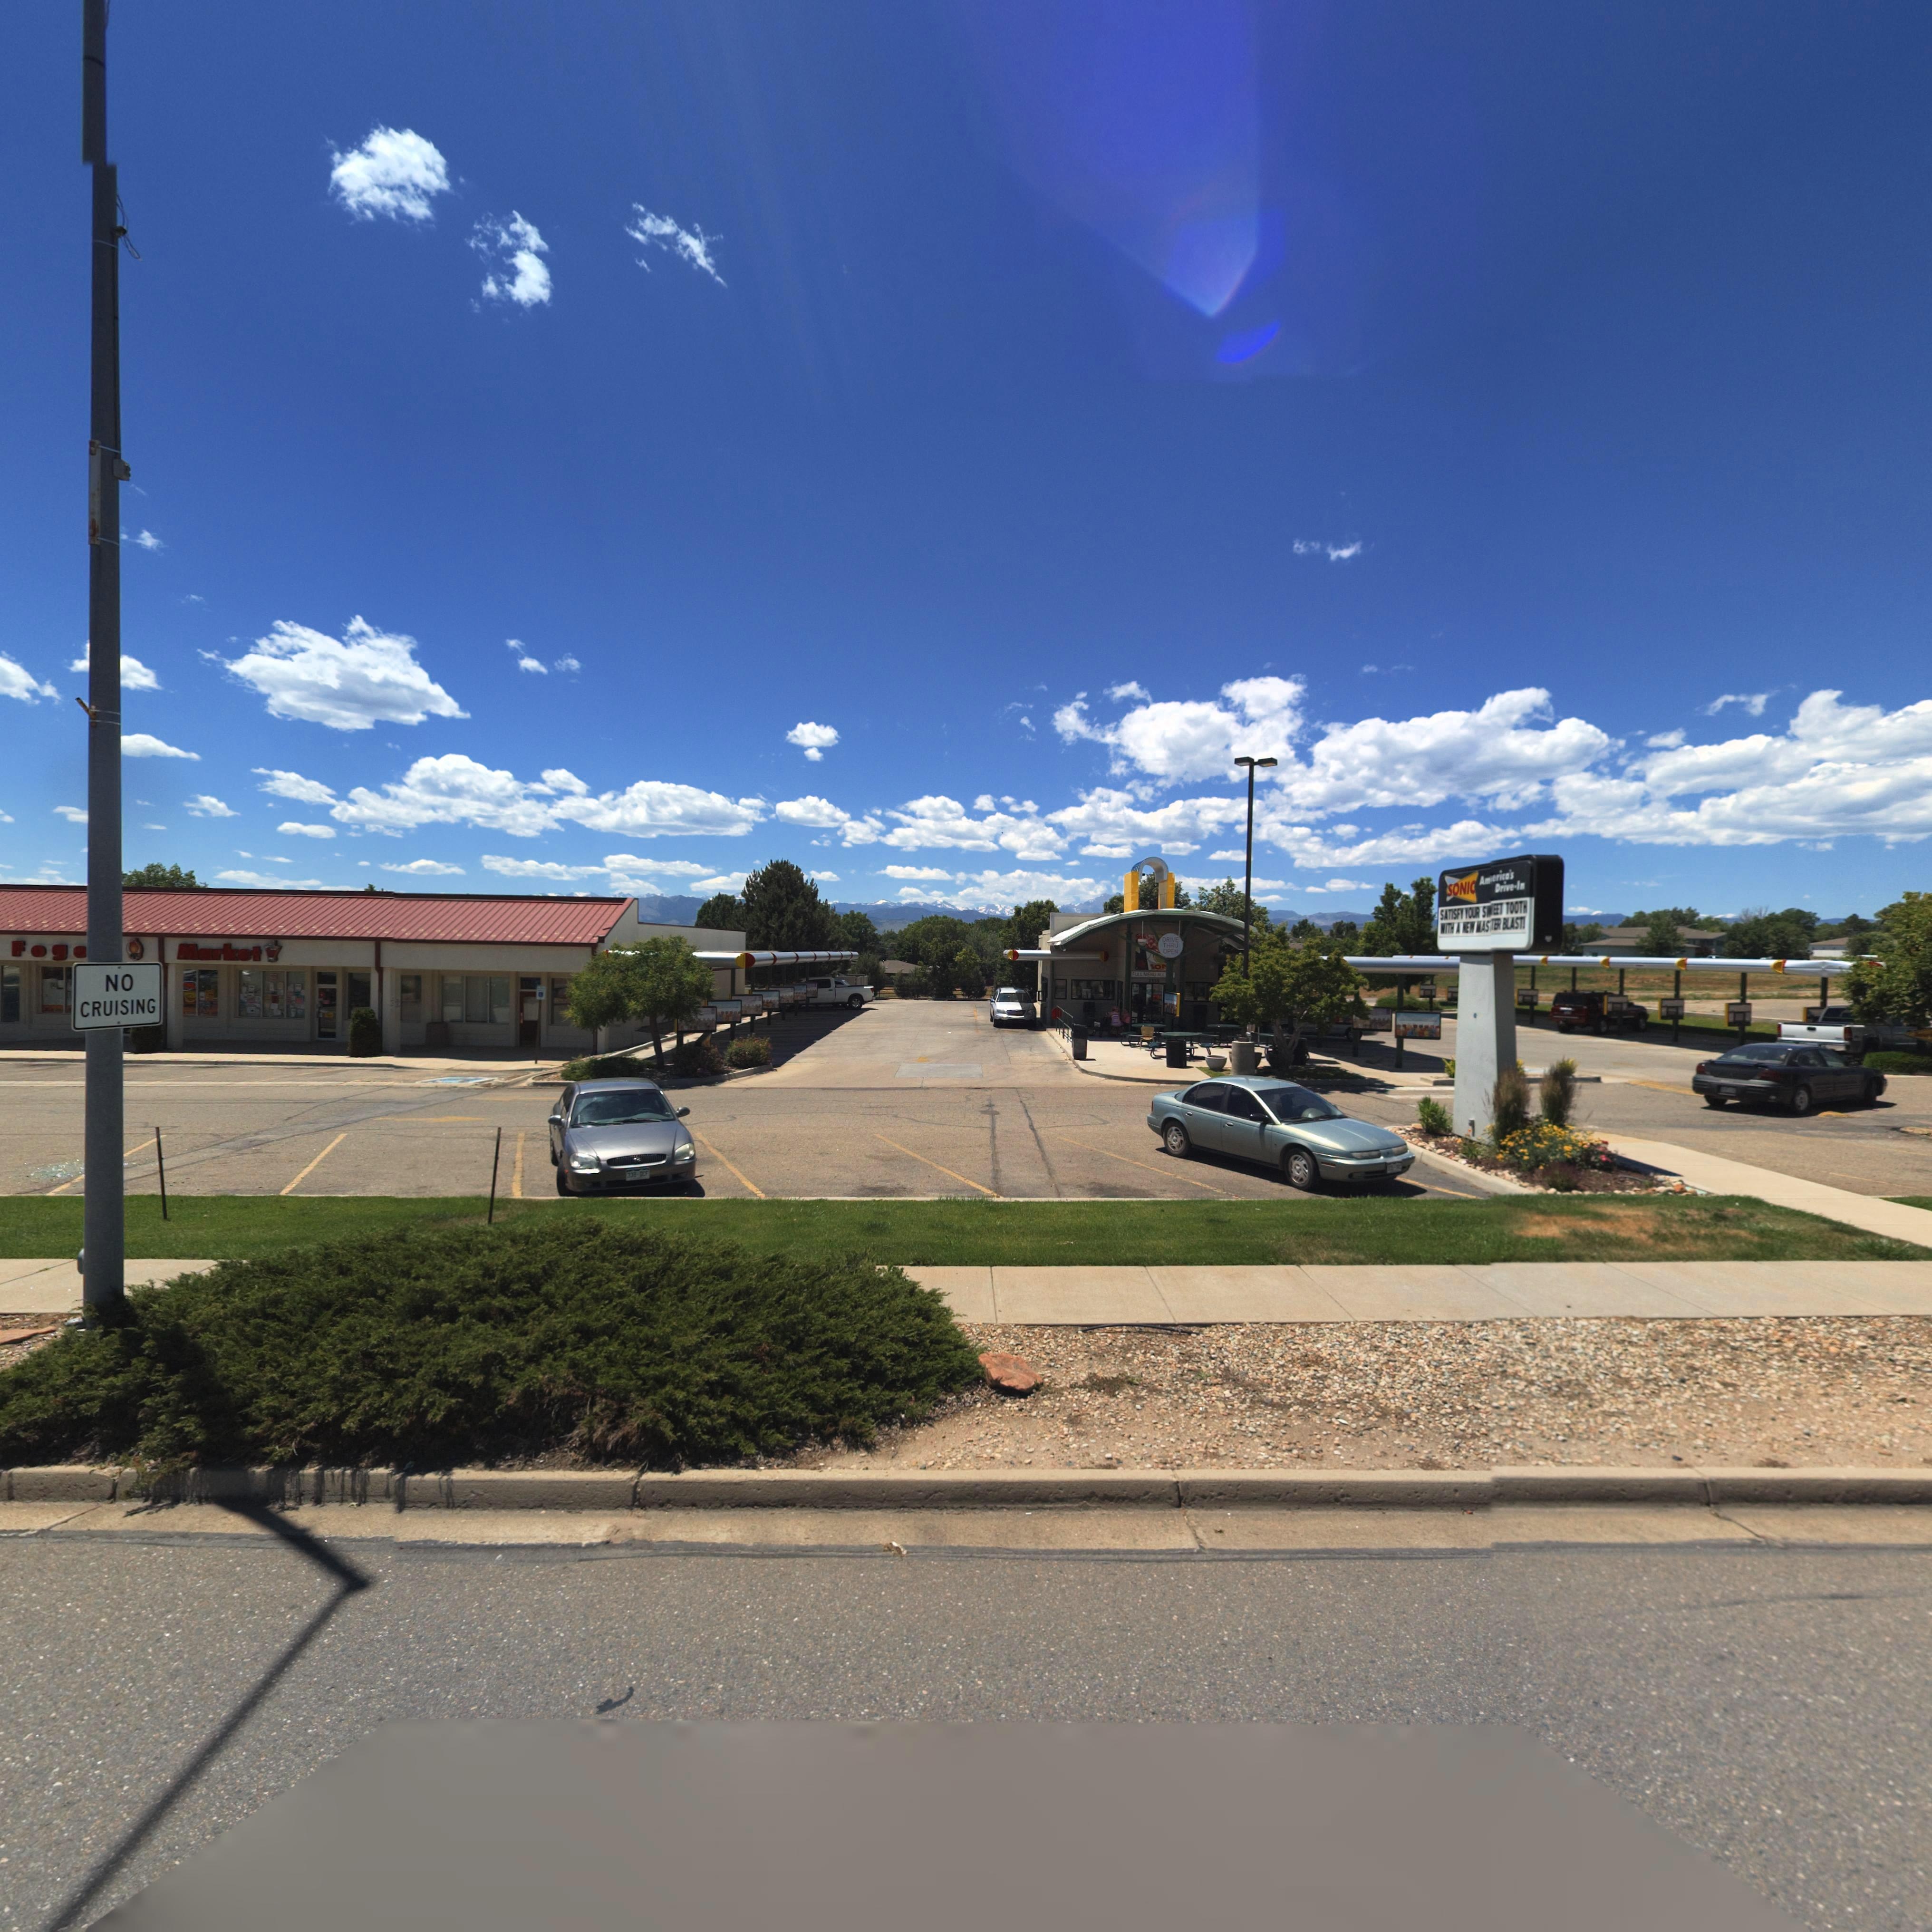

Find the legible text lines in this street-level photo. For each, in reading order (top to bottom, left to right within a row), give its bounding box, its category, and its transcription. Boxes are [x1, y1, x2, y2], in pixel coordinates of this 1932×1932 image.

[1447, 879, 1478, 897] BusinessName: SONIC
[10, 939, 263, 962] BusinessName: Fogo Market
[1150, 963, 1167, 970] BusinessName: SO*